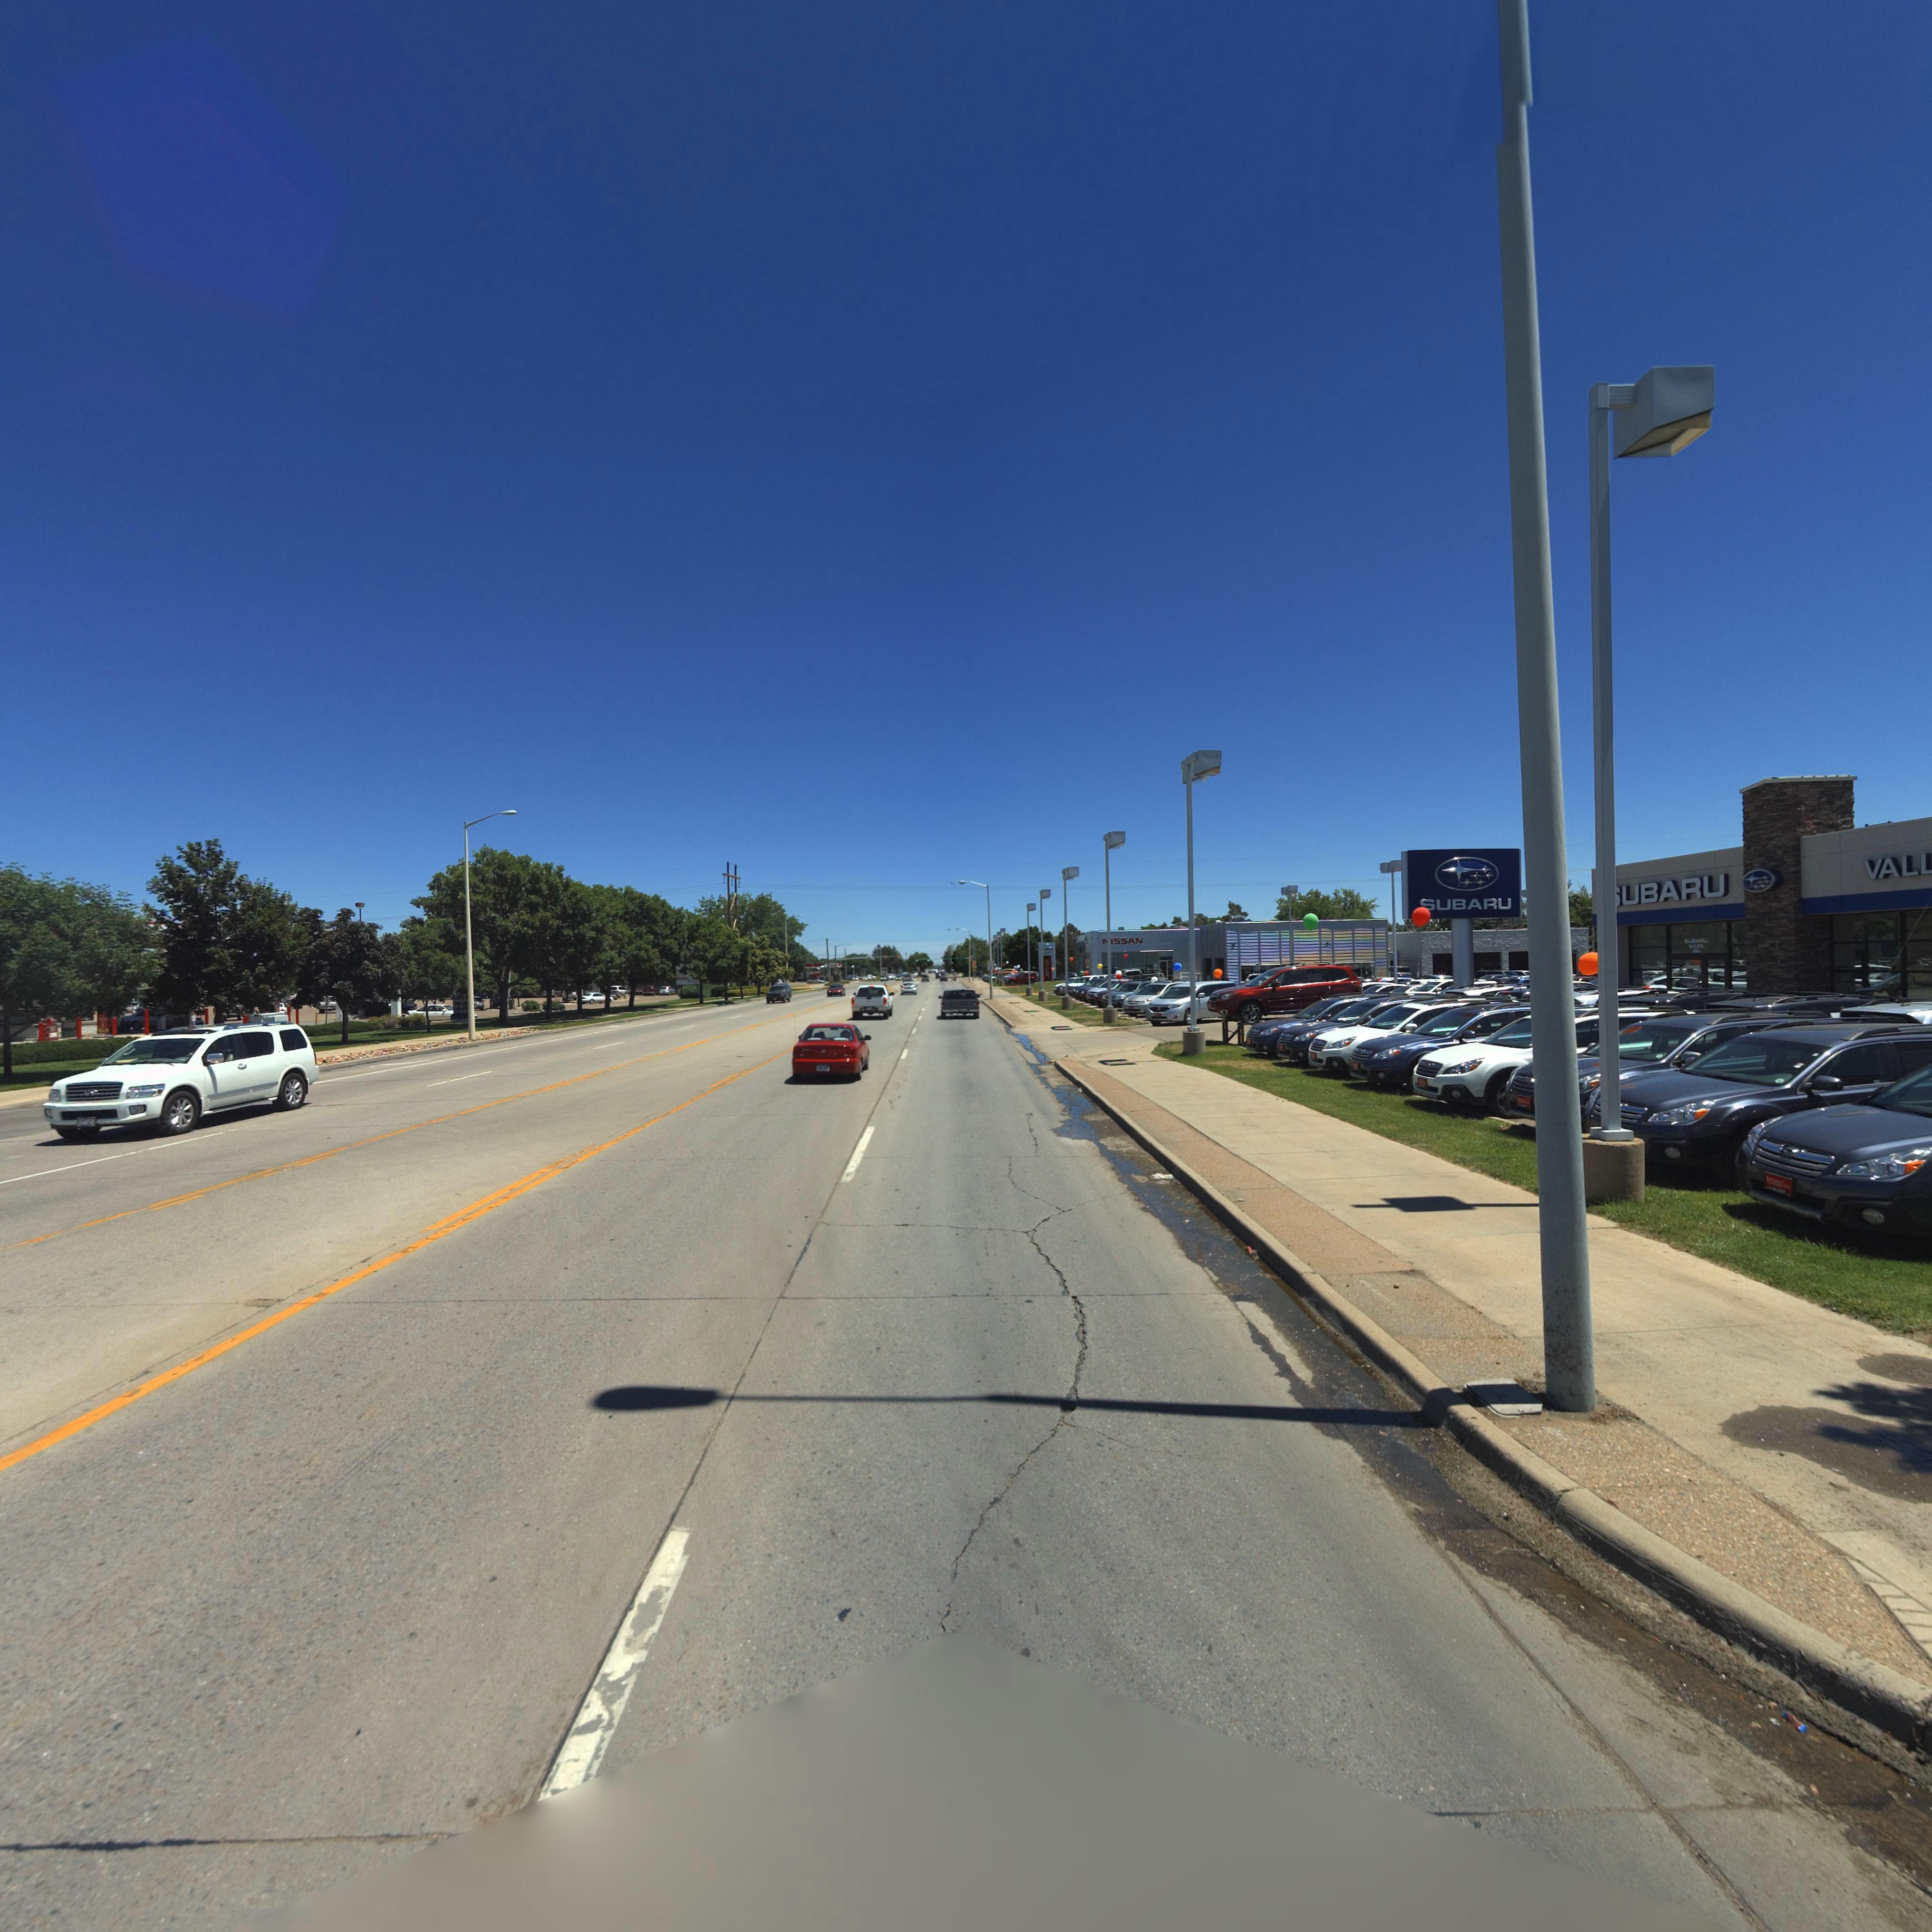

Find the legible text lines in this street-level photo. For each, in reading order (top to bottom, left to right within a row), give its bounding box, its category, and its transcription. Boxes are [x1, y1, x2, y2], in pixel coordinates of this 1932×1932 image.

[1863, 852, 1932, 880] BusinessName: VALL
[1621, 873, 1726, 906] BusinessName: UBARU
[1420, 898, 1512, 911] BusinessName: SUBARU
[1102, 937, 1143, 944] BusinessName: *ISSAN
[1684, 938, 1708, 944] BusinessName: SUBARU
[1689, 944, 1703, 948] BusinessName: SALES